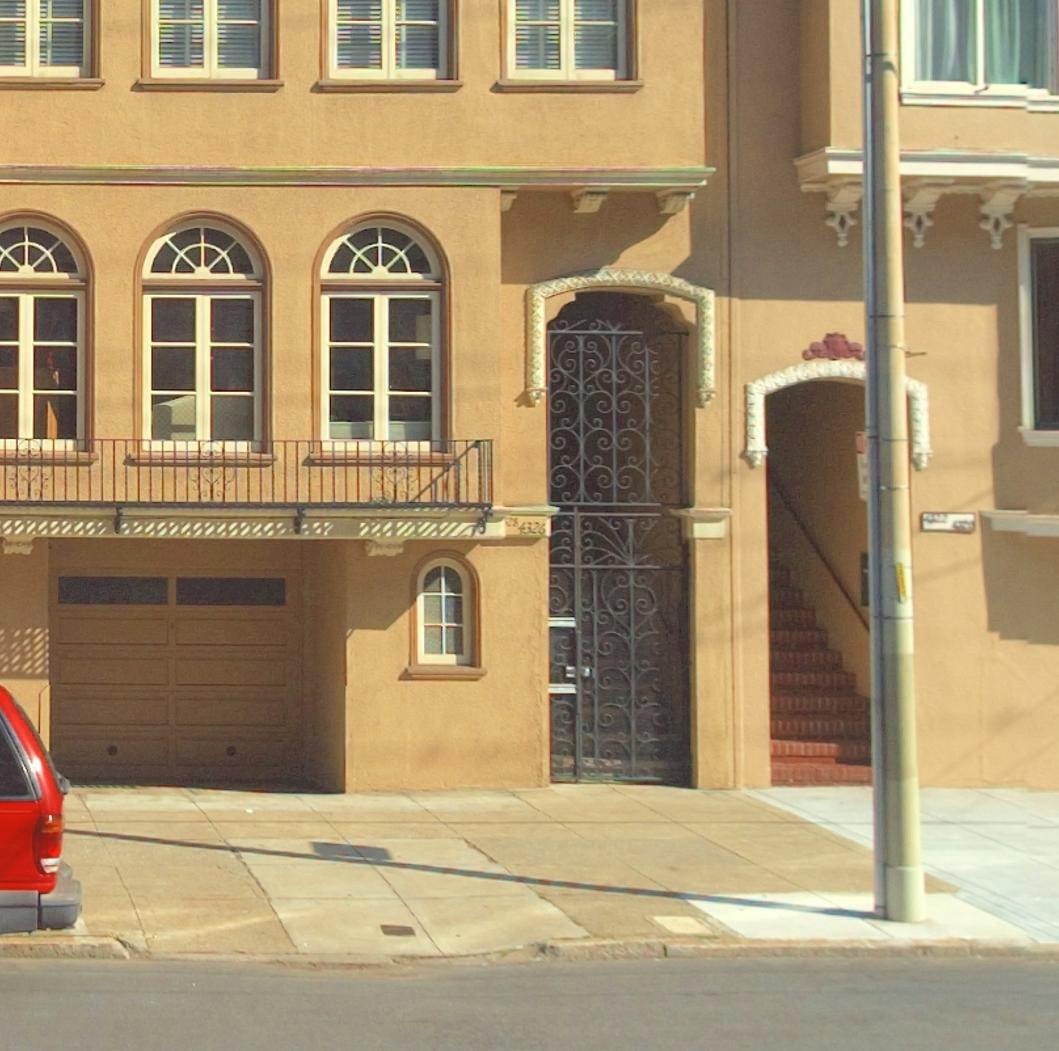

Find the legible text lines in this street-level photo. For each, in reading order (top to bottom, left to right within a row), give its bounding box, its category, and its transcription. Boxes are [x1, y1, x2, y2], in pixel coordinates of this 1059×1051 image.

[503, 517, 519, 526] StreetNumber: 28
[515, 519, 550, 537] StreetNumber: 4326